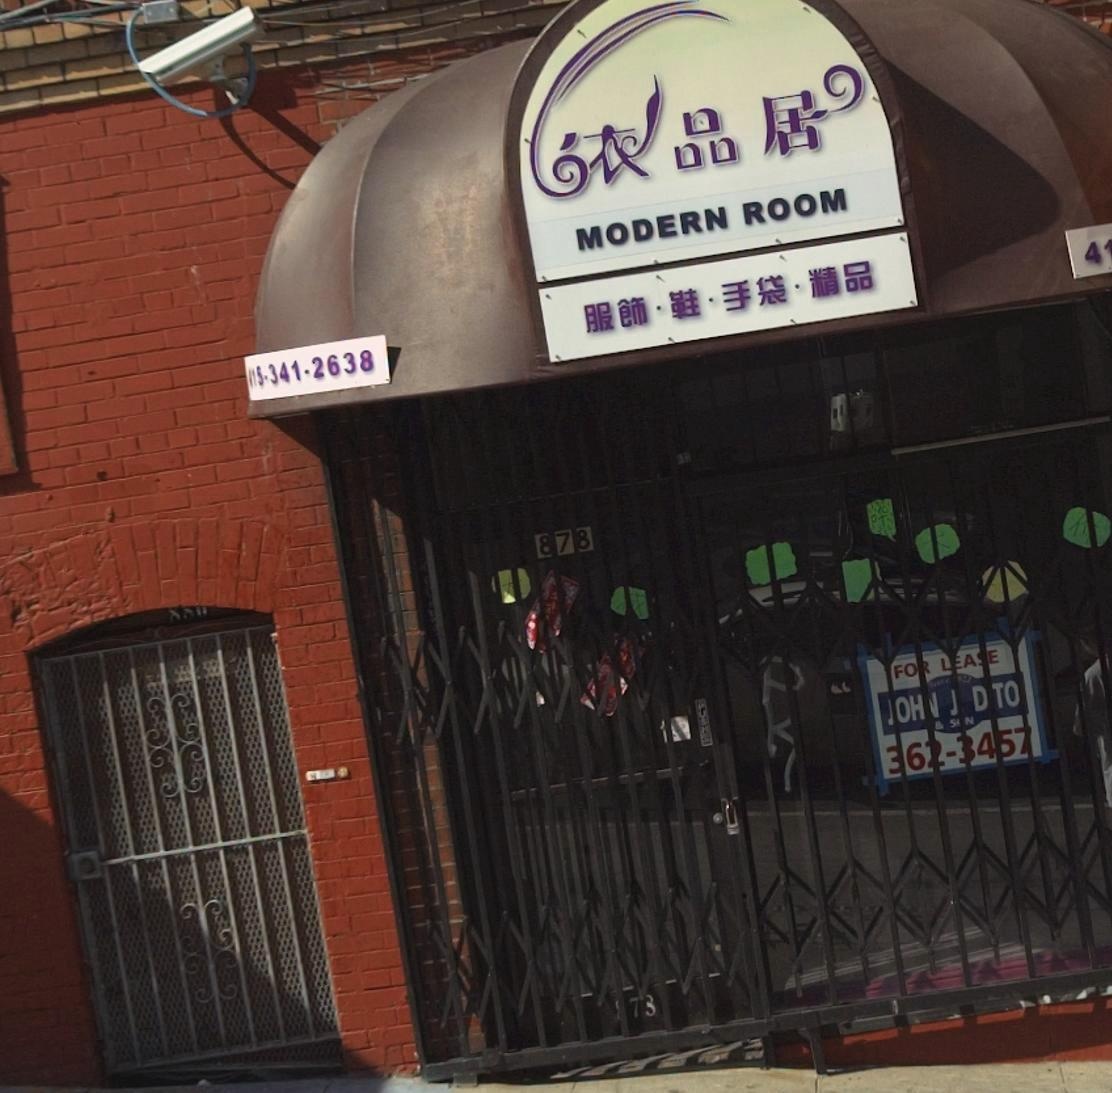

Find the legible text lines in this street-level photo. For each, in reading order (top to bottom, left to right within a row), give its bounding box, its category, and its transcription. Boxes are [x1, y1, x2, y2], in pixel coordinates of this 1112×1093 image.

[573, 186, 849, 255] BusinessName: MODERN ROOM
[1078, 235, 1107, 267] None: 4
[253, 346, 378, 390] None: 5-341-2638
[535, 525, 595, 559] StreetNumber: 878
[891, 647, 1001, 681] None: FO* L*A*E
[694, 698, 711, 736] None: PUSH
[886, 677, 1023, 728] None: *OH* J D*TO
[883, 724, 1033, 776] None: *6*-*4**